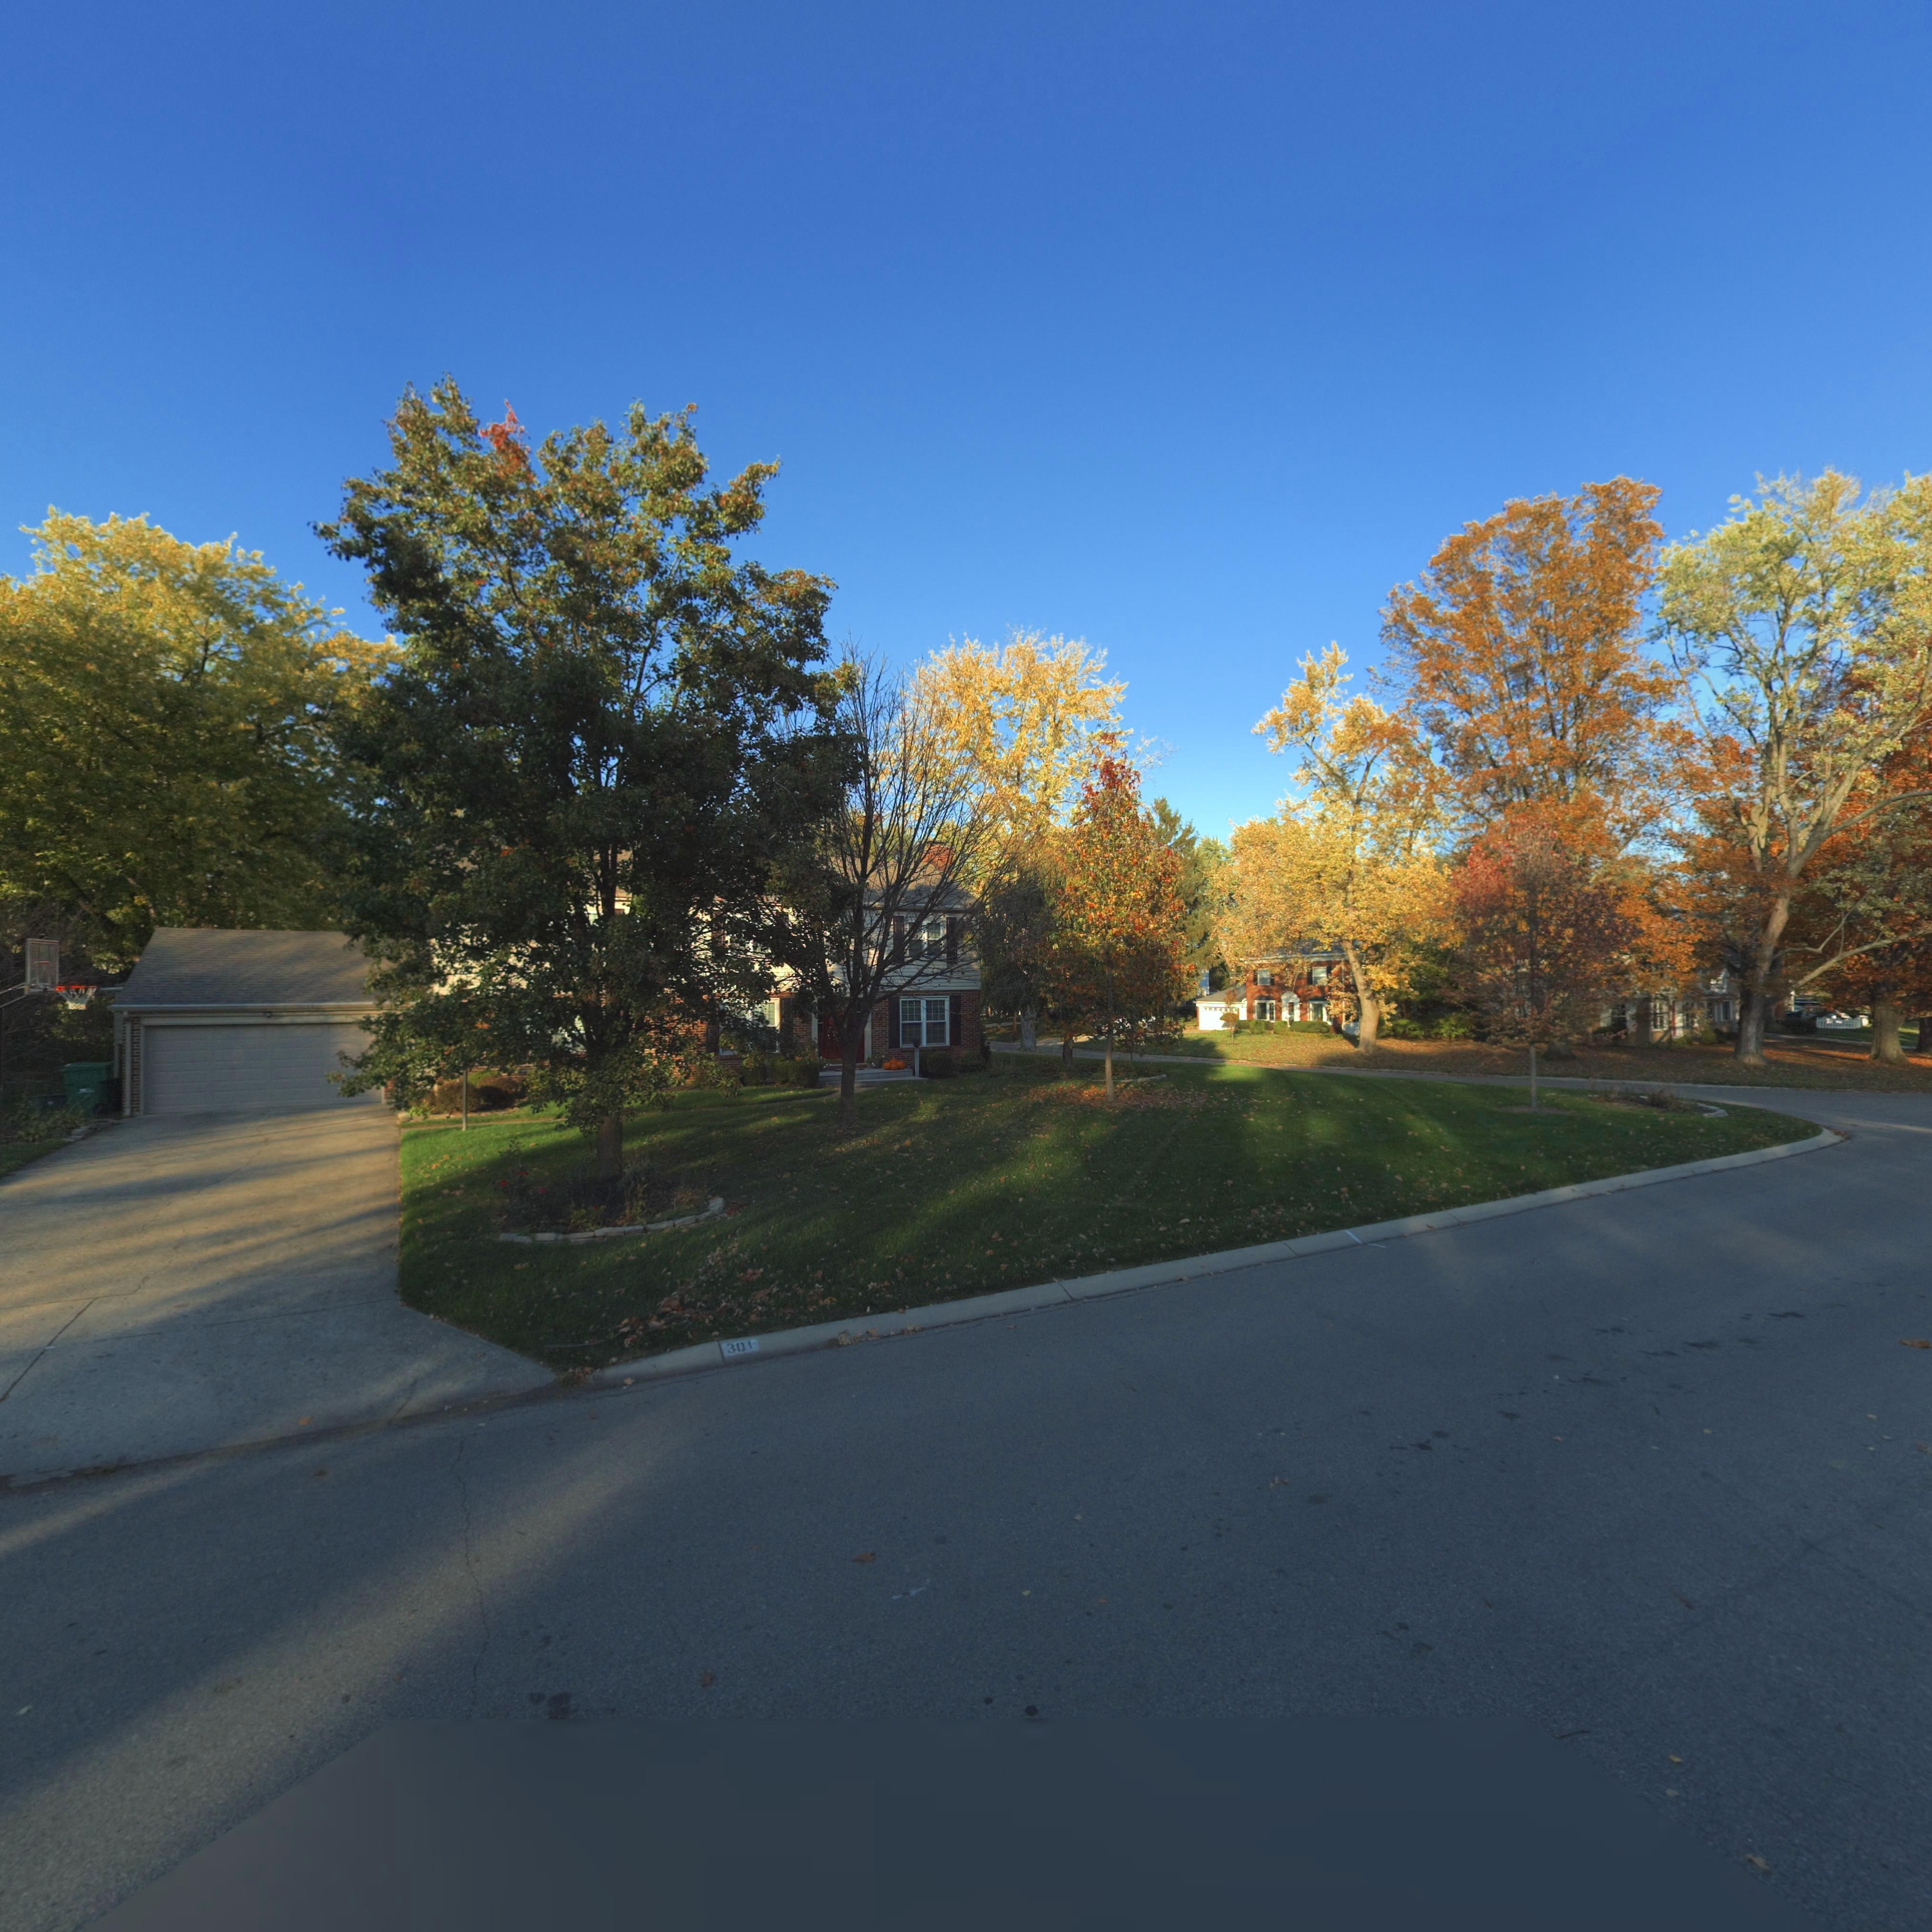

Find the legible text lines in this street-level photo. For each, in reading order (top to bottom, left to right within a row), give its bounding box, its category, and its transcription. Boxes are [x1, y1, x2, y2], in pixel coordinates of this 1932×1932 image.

[725, 1339, 753, 1355] StreetNumber: 301